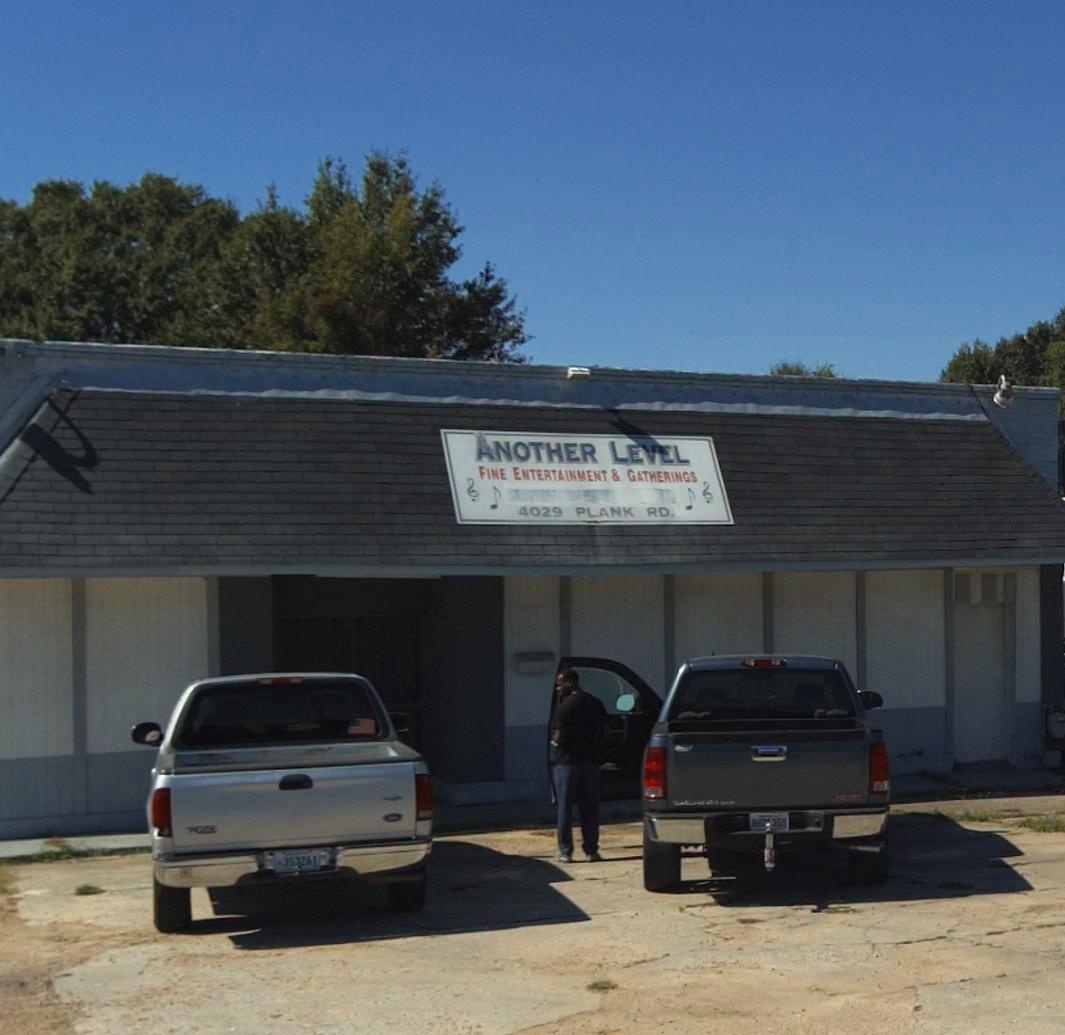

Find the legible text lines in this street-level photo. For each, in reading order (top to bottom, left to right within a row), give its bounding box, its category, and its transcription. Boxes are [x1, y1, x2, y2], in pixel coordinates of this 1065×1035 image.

[475, 439, 692, 465] BusinessName: *NOTHER LEVEL
[477, 464, 699, 484] None: FINE ENTERTAINMENT & GATHERINGS
[517, 505, 564, 518] StreetNumber: 4029
[573, 505, 670, 518] StreetName: PLANK RD
[282, 855, 317, 868] None: 35*261